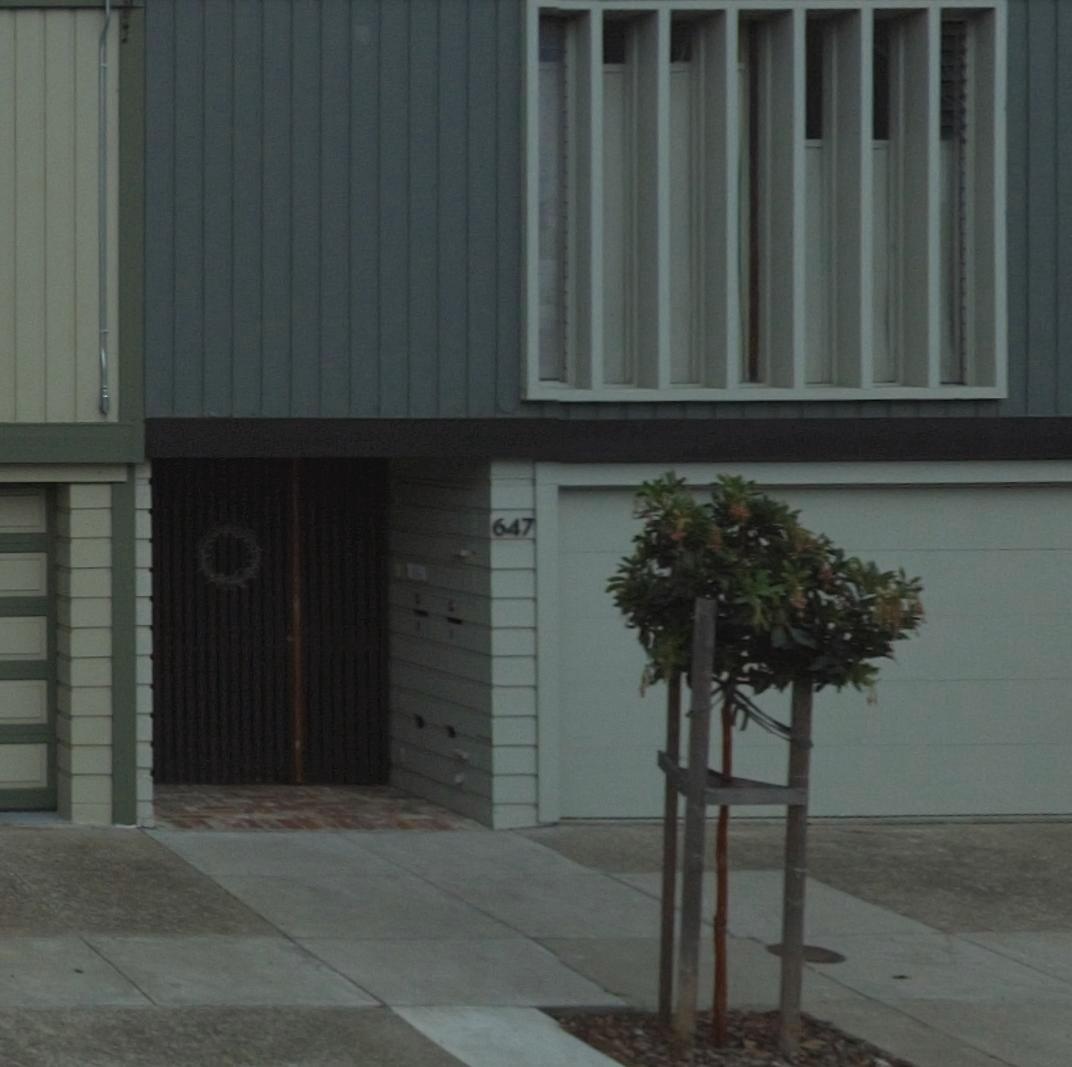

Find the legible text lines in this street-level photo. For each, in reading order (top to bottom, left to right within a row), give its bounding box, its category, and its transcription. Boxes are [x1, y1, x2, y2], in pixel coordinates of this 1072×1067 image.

[491, 516, 535, 537] StreetNumber: 647